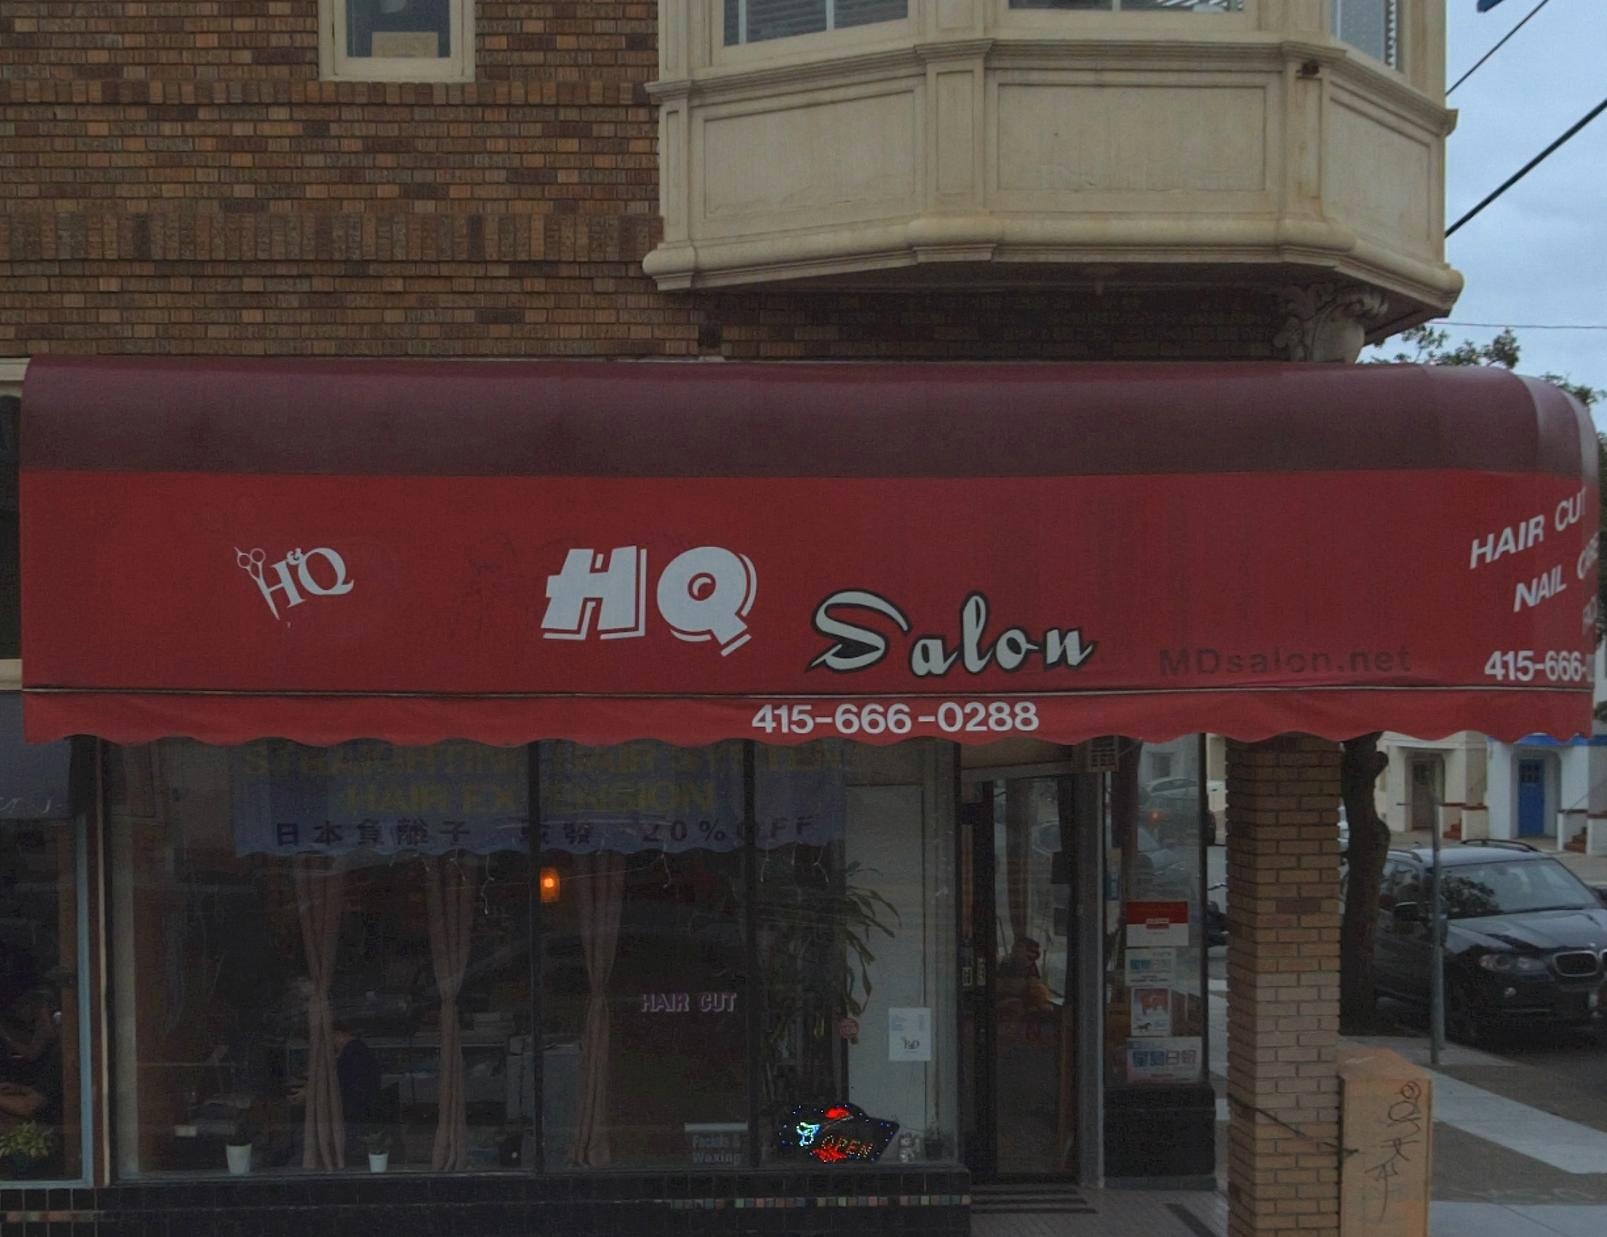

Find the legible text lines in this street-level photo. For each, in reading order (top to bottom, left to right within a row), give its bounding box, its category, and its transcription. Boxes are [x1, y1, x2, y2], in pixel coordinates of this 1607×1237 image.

[1466, 481, 1589, 574] None: HAIR CU*
[534, 539, 764, 663] BusinessName: HQ
[1510, 560, 1571, 618] None: NAIL
[796, 582, 1104, 683] BusinessName: Salon
[1155, 640, 1416, 680] None: MDsalon.net
[1479, 646, 1586, 685] None: 415-666
[747, 698, 1044, 737] None: 415-666-0288
[342, 776, 720, 819] None: HAIR EX*ENSION
[638, 818, 691, 845] None: 20
[765, 813, 816, 840] None: FF
[977, 957, 985, 983] None: PULL
[639, 989, 740, 1015] None: HAIR CUT
[690, 1132, 743, 1150] None: Facials &
[690, 1149, 743, 1167] None: Waxing
[811, 1129, 879, 1162] None: OPEN